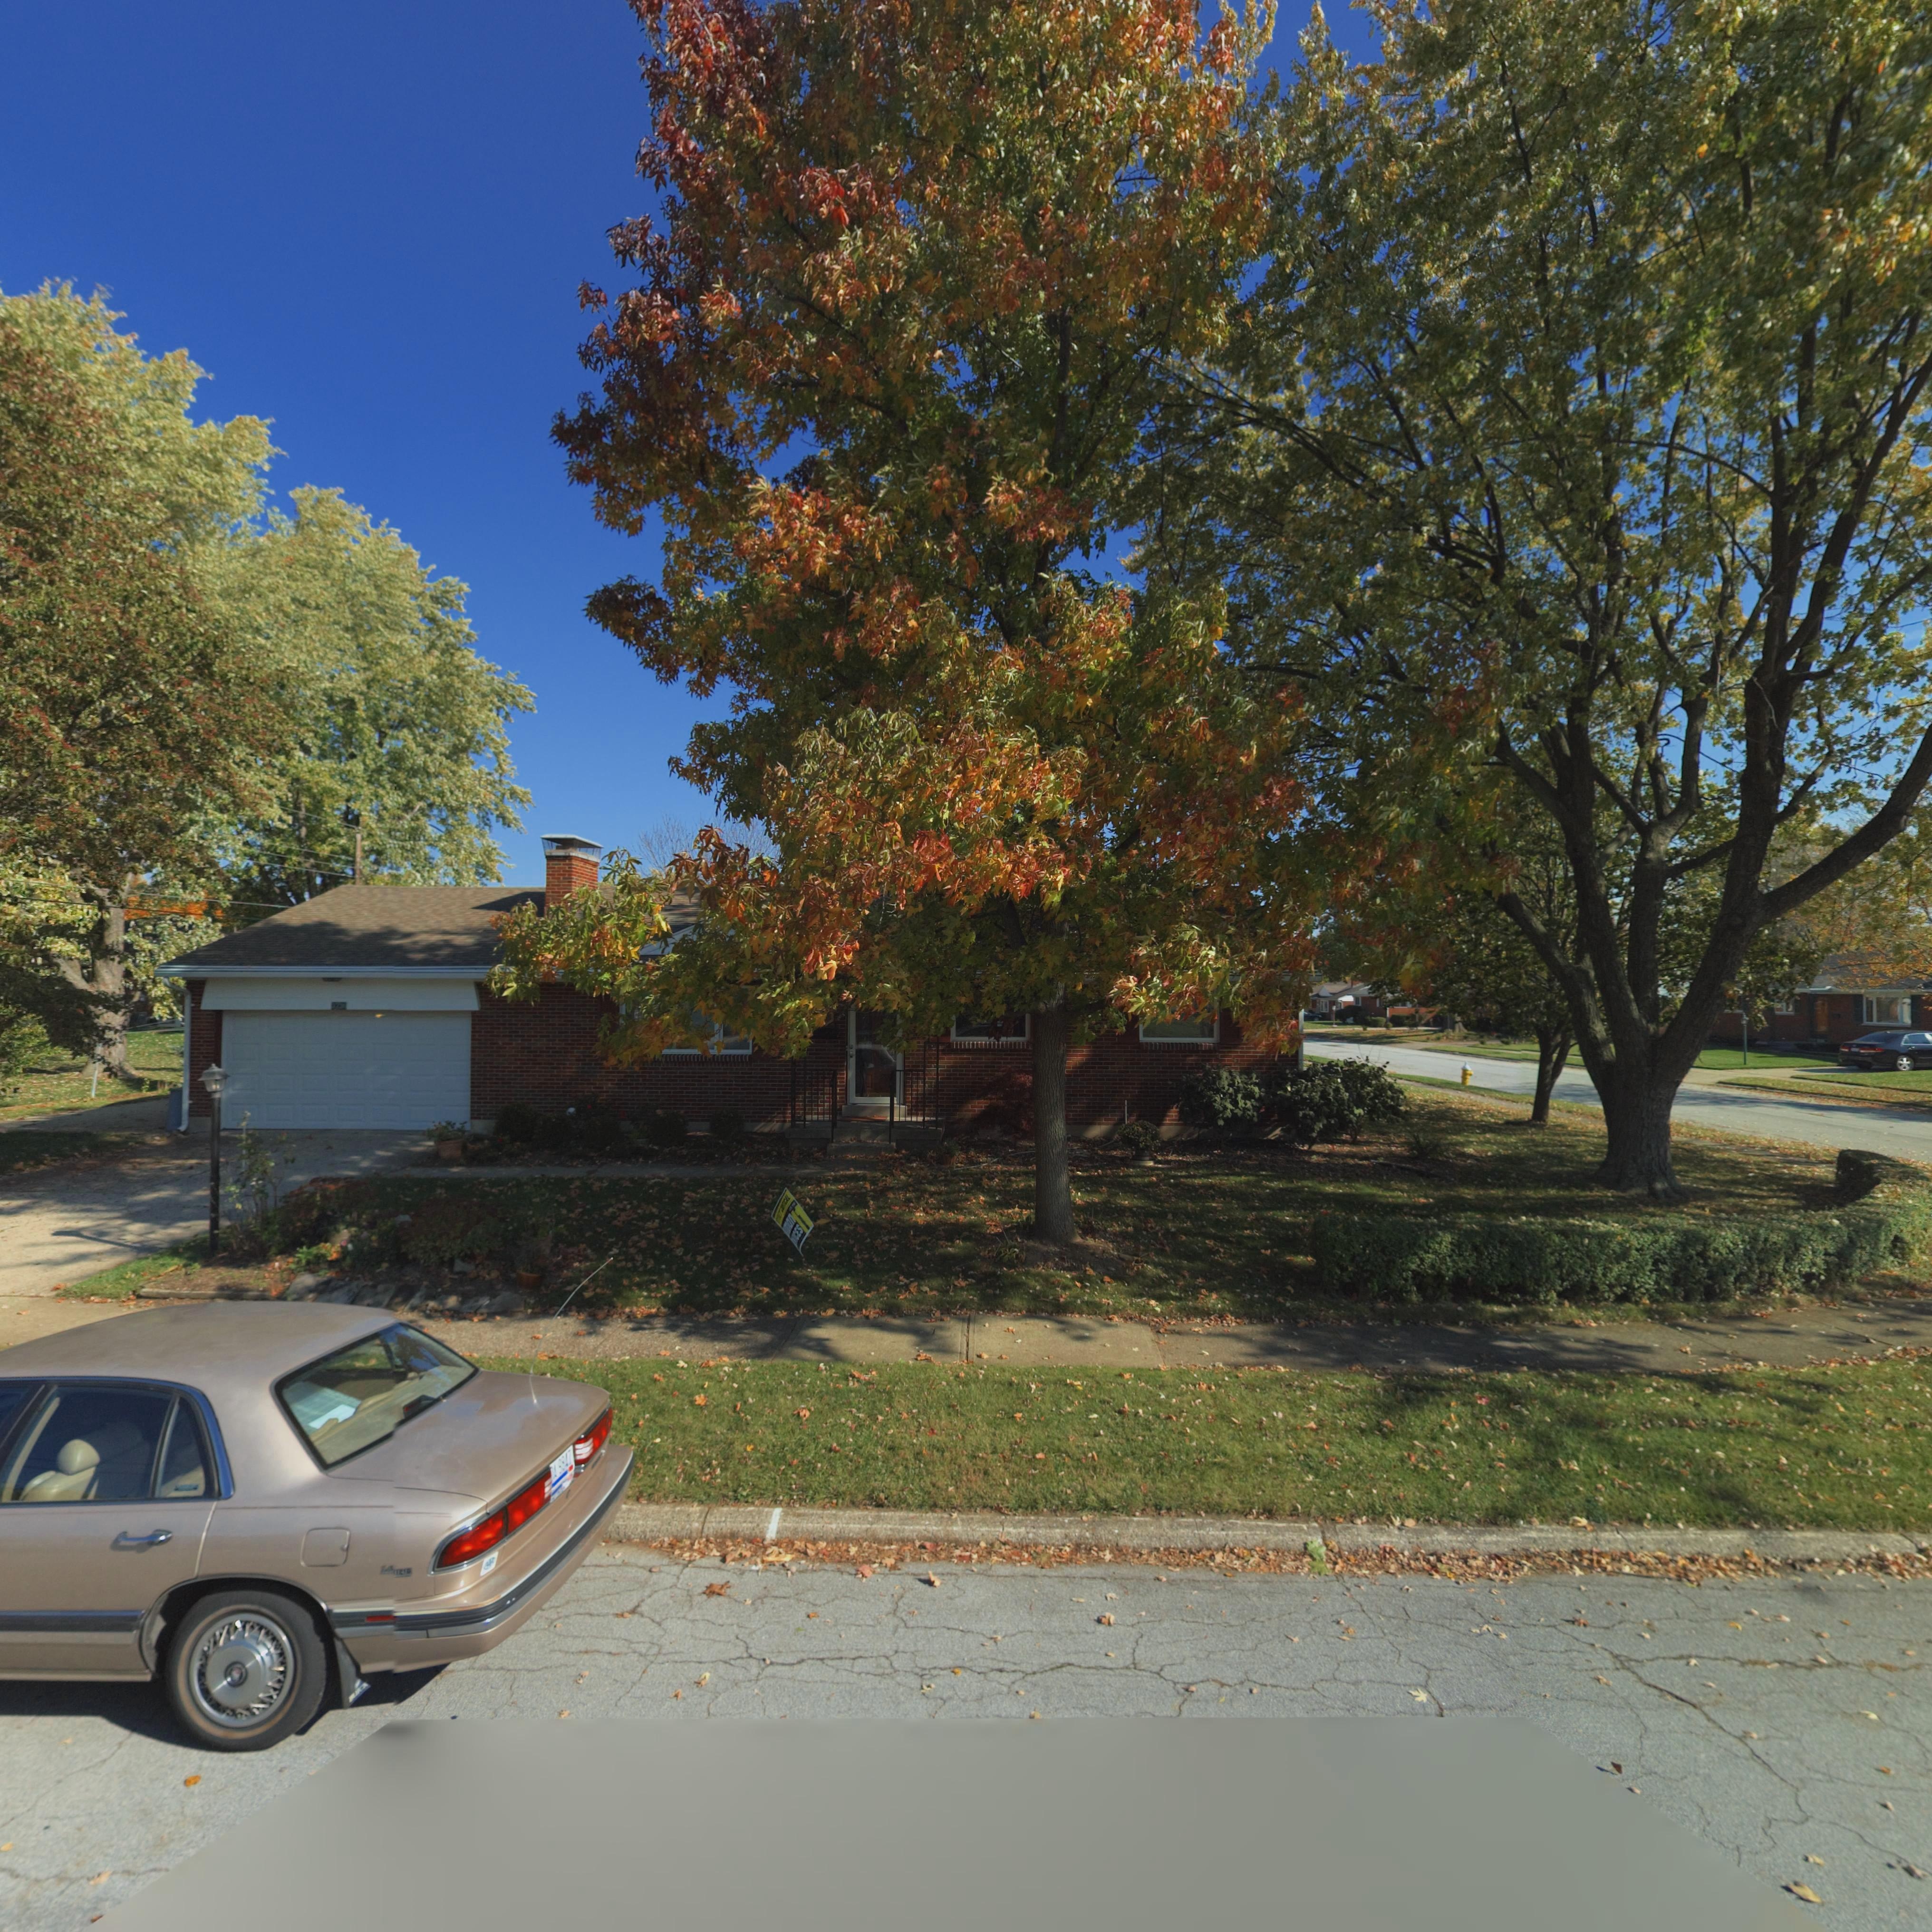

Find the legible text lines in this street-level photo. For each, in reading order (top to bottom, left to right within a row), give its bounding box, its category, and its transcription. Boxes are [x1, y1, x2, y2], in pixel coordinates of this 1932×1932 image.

[332, 1003, 346, 1010] StreetNumber: 3730
[775, 1193, 792, 1226] None: PROTECT CRITICAL
[782, 1211, 797, 1237] None: Human
[790, 1222, 804, 1247] None: SERVICES
[789, 1204, 813, 1235] None: 11